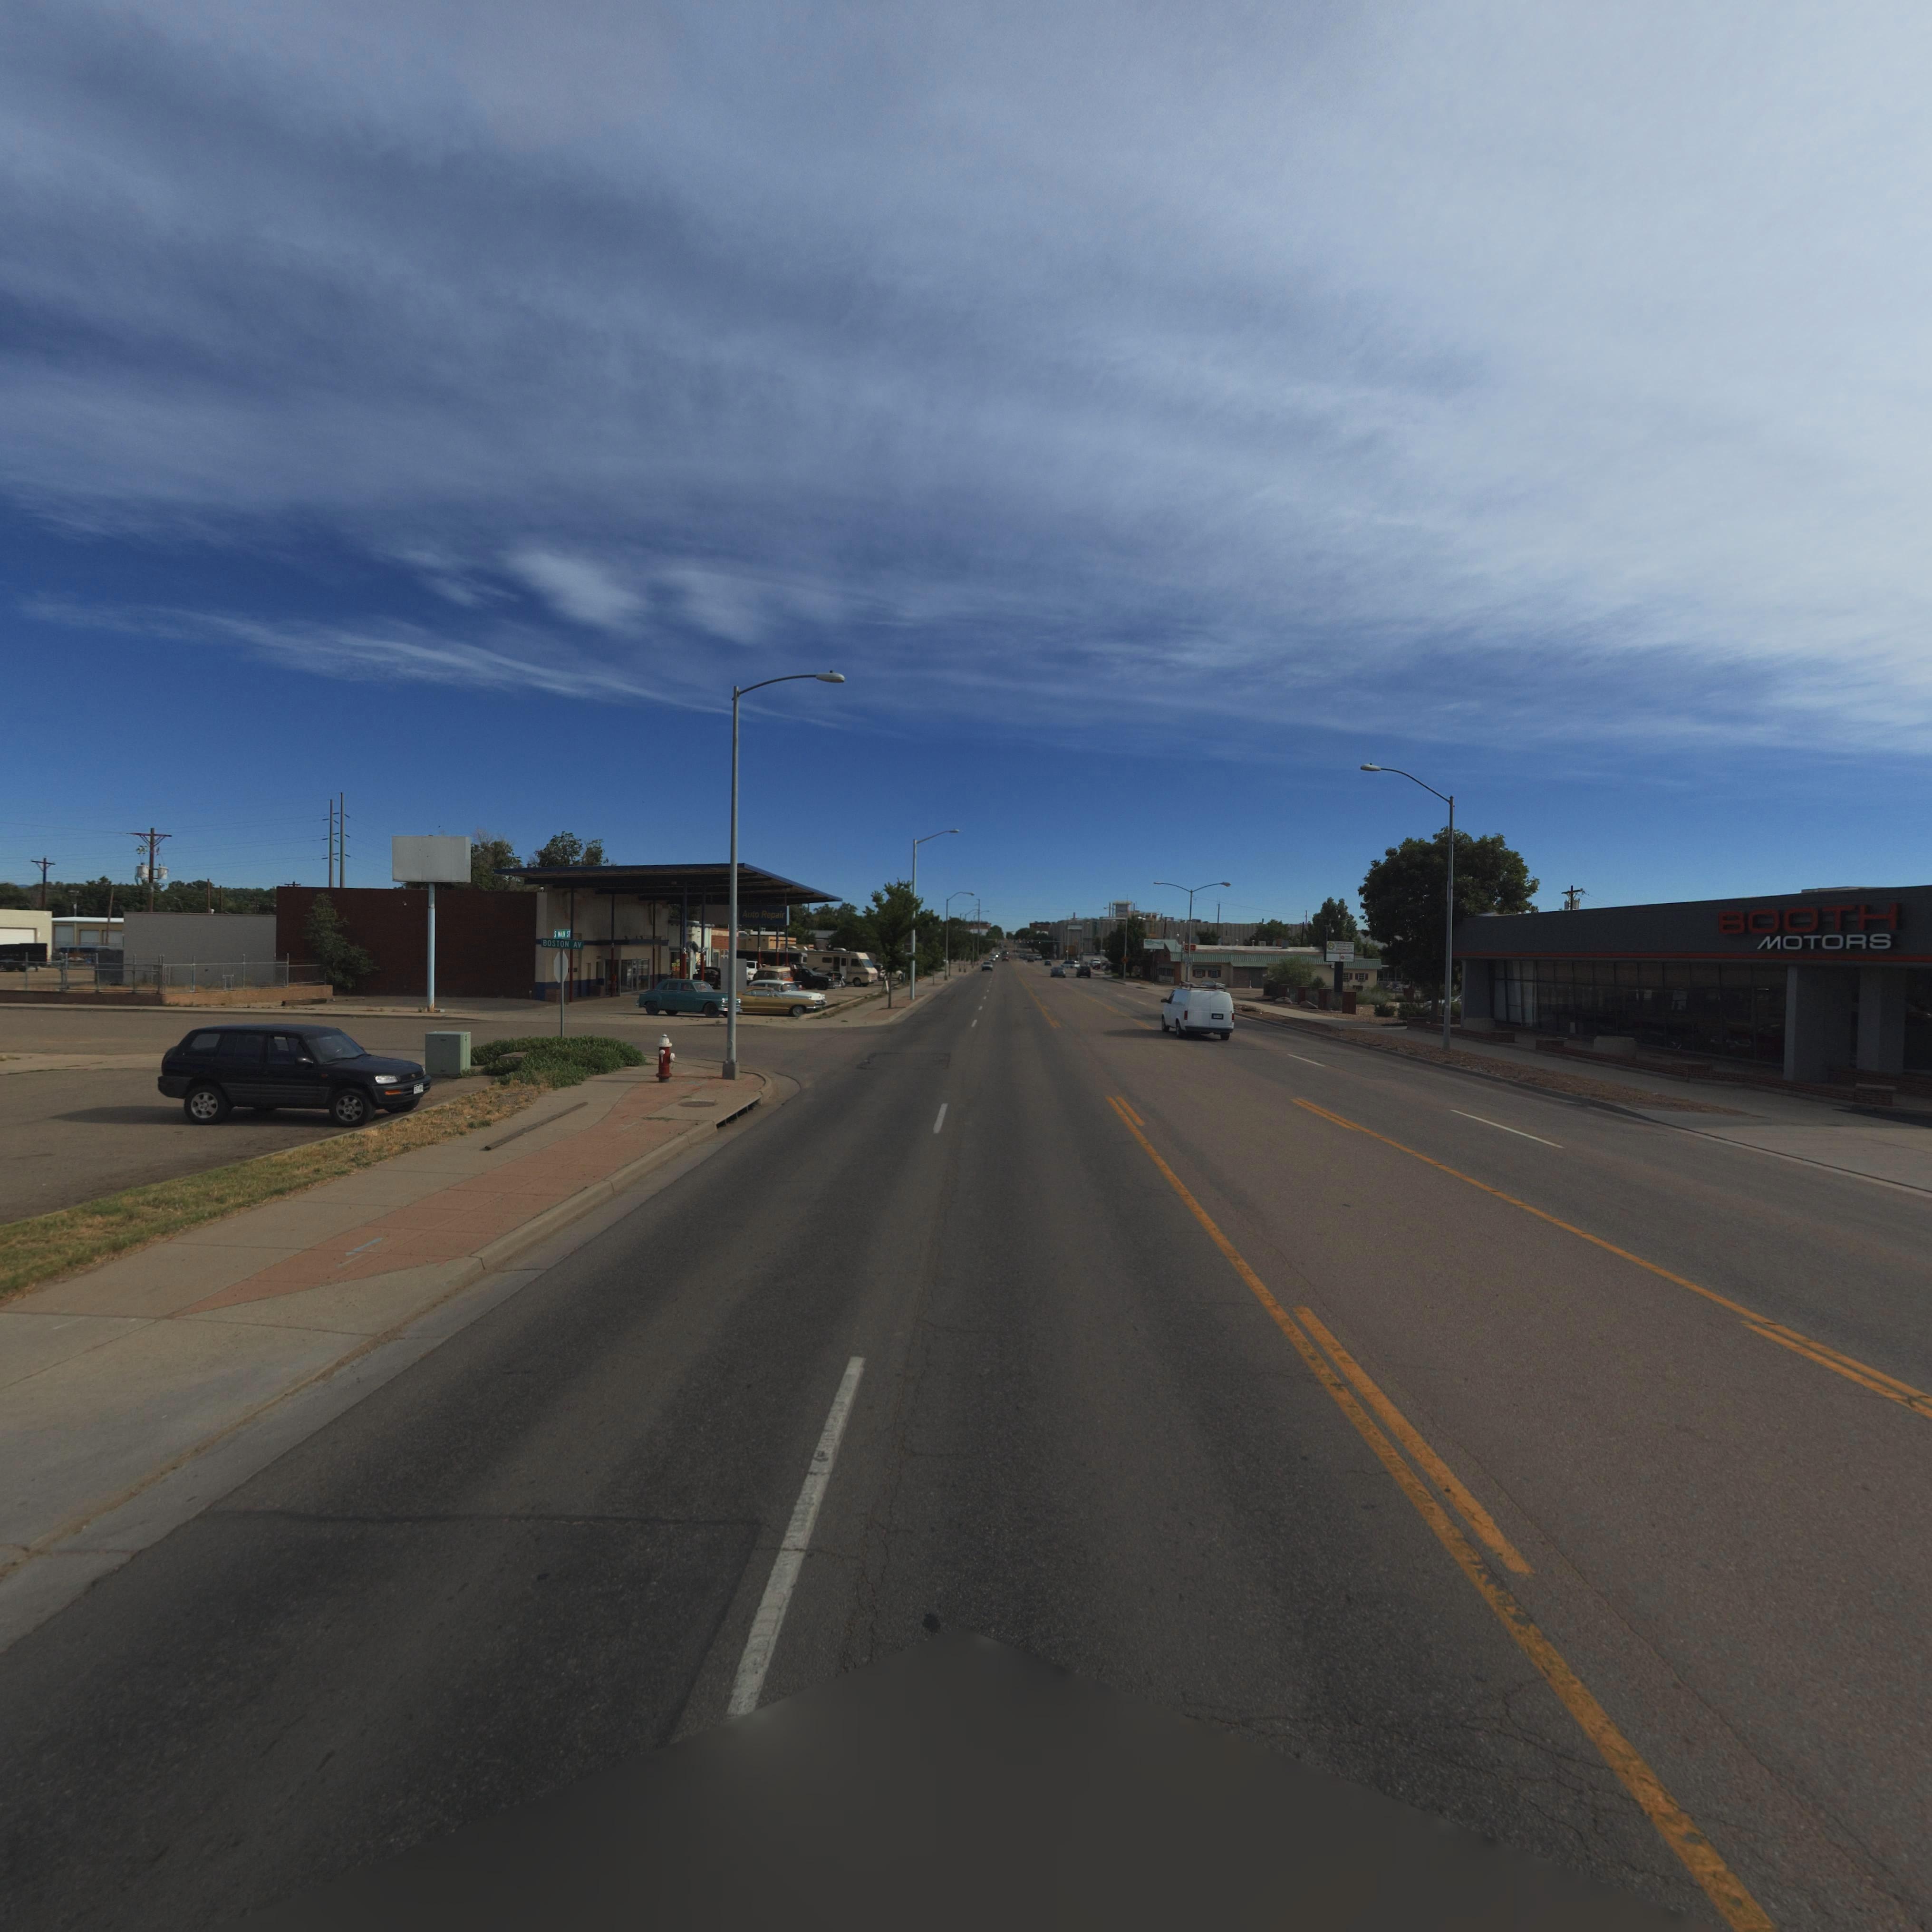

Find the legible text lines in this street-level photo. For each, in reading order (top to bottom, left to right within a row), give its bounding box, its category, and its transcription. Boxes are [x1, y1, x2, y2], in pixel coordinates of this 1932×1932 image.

[1718, 901, 1897, 934] BusinessName: BOOTH
[554, 930, 570, 937] StreetName: S M*** ST
[543, 939, 582, 948] StreetName: BOSTON AV
[1756, 933, 1891, 949] BusinessName: MOTORS